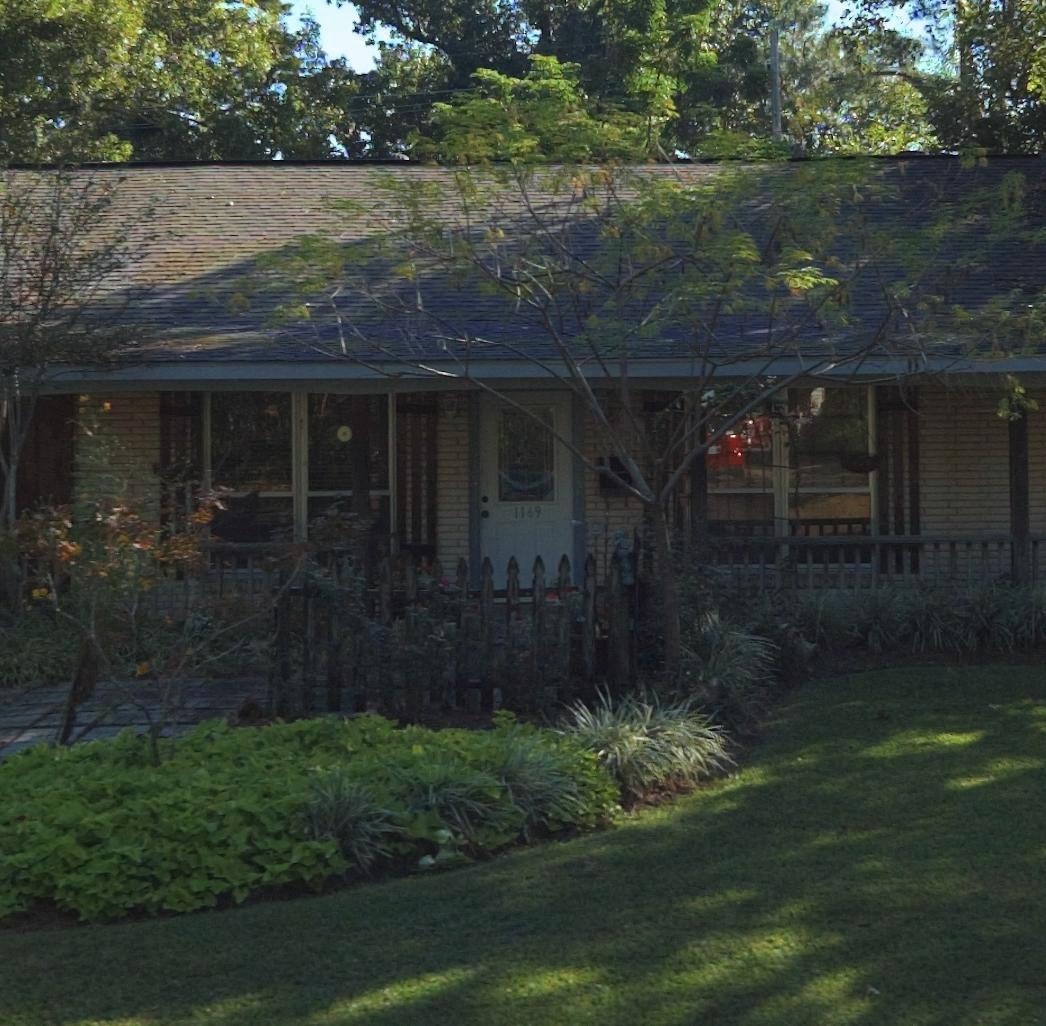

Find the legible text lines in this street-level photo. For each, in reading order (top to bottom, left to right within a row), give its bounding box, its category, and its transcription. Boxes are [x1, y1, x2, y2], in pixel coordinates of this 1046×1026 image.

[512, 503, 544, 521] StreetNumber: 1169